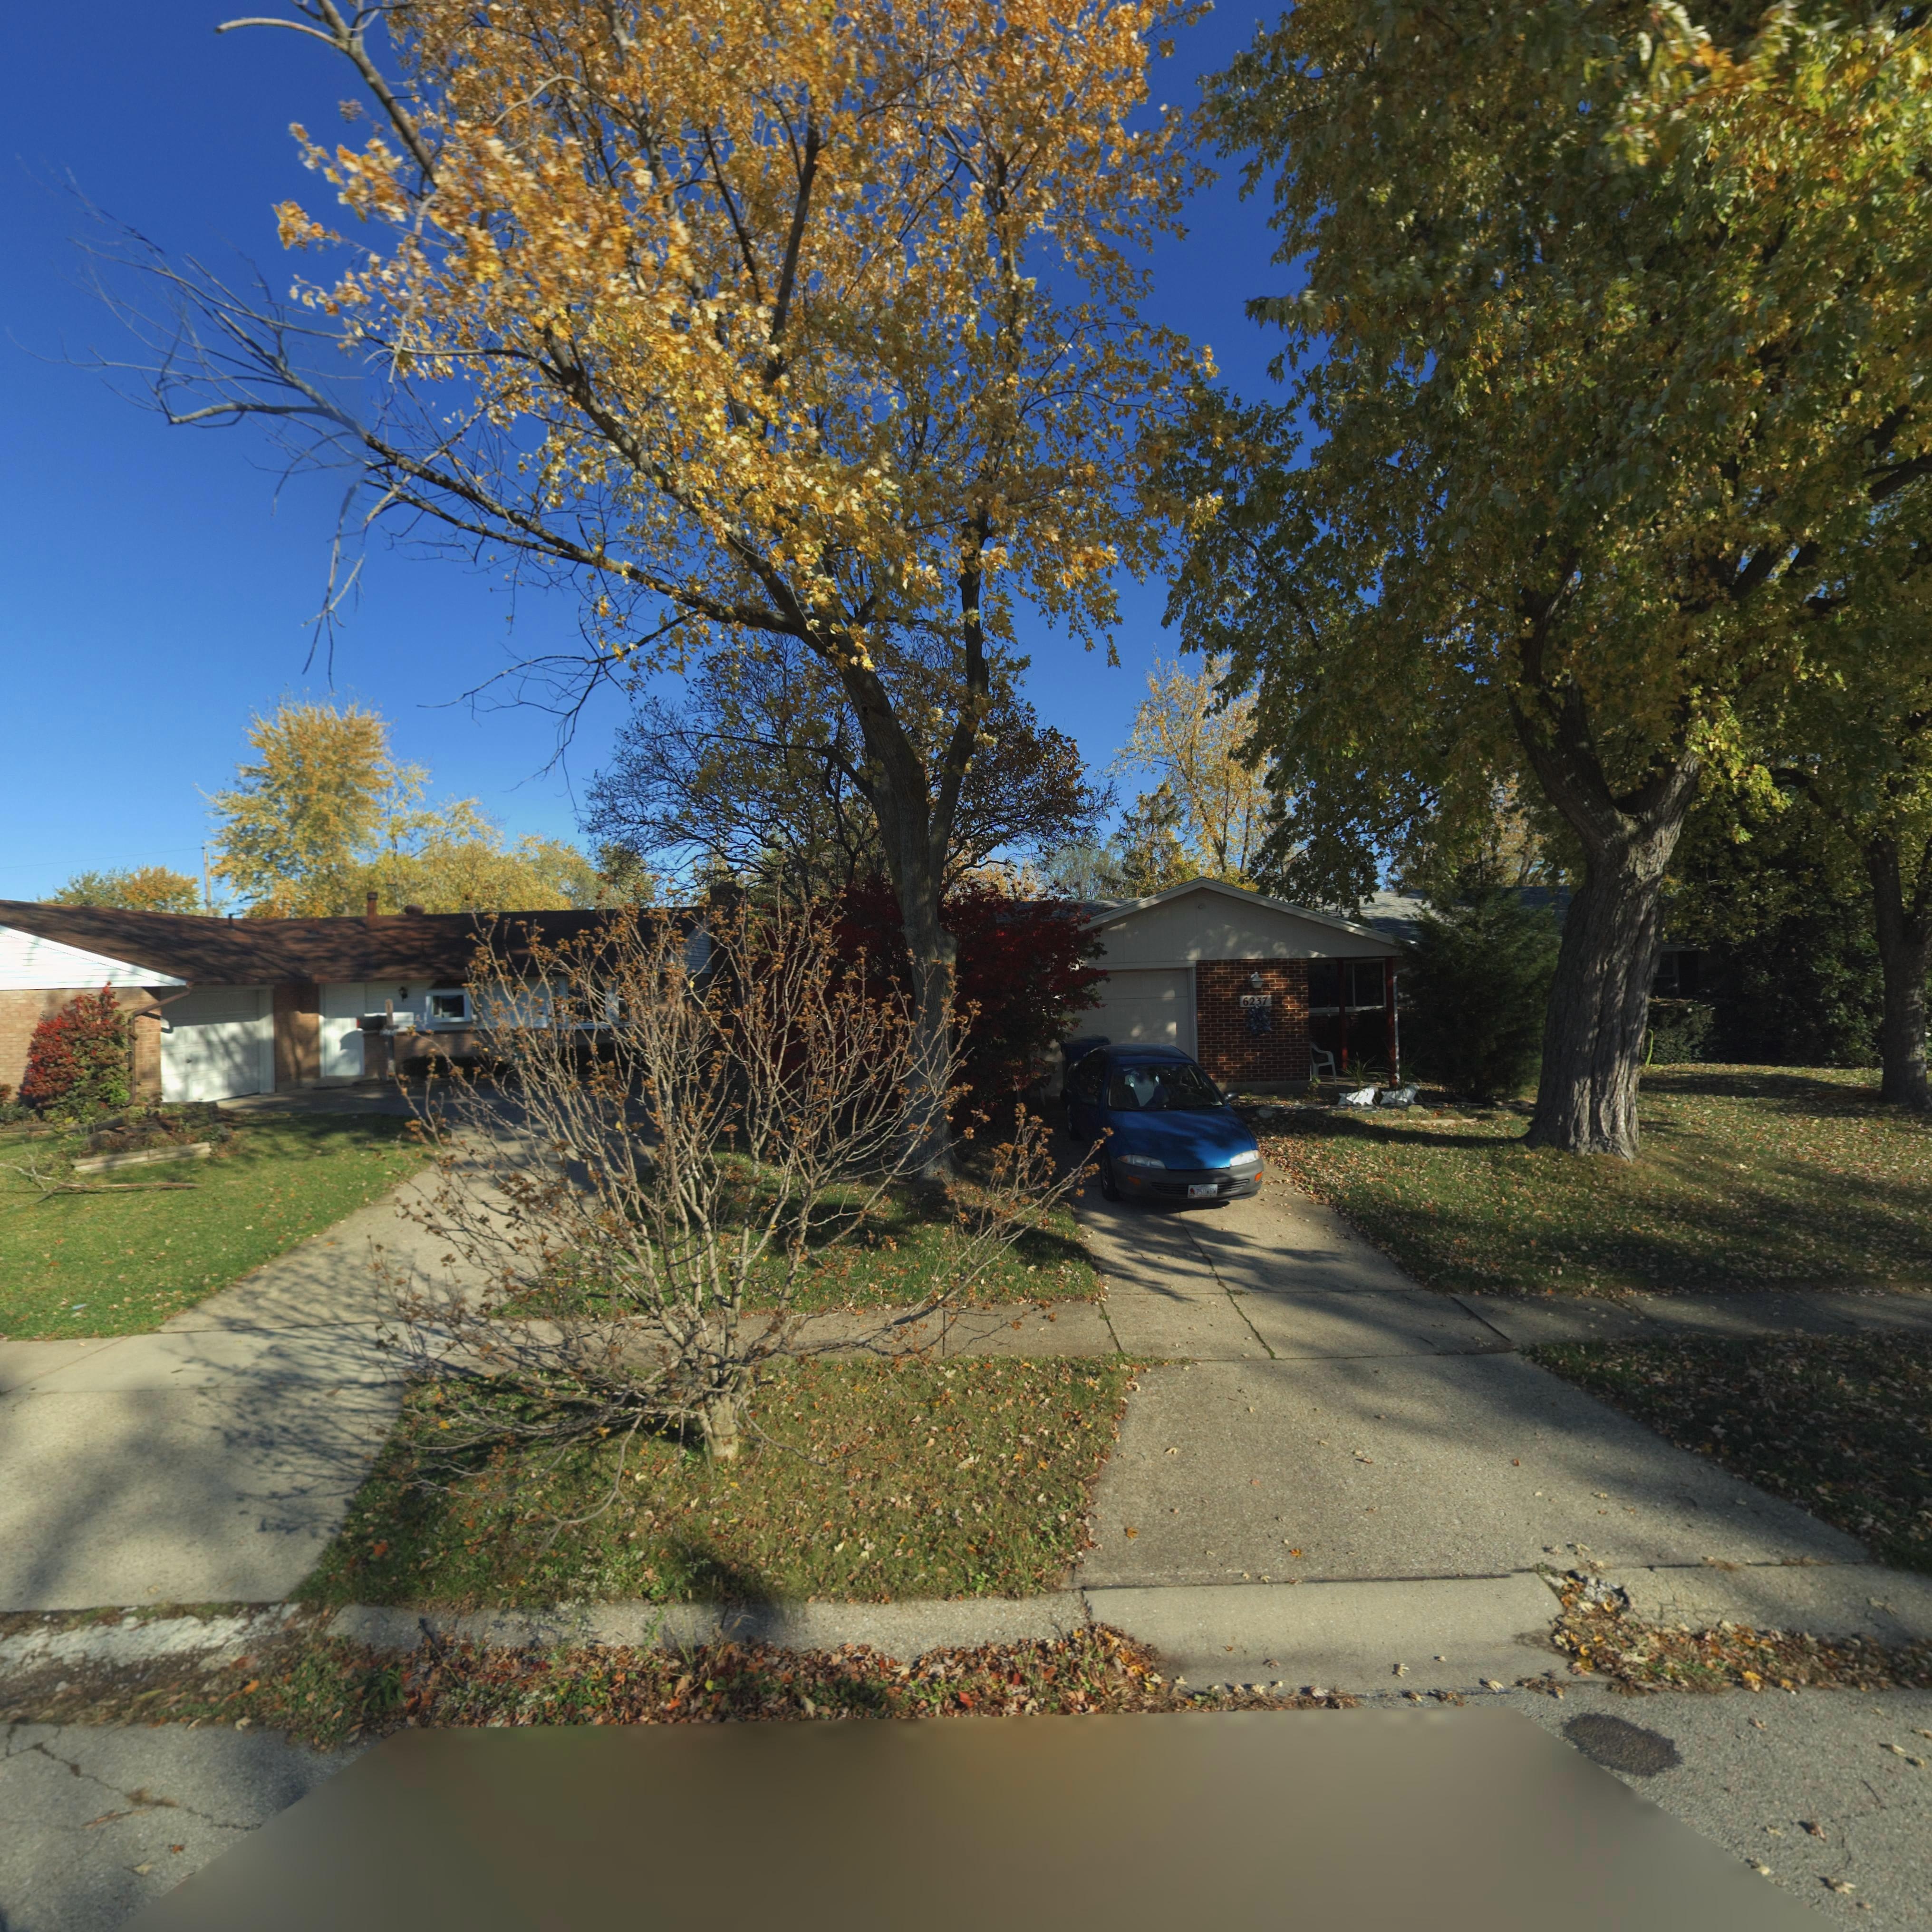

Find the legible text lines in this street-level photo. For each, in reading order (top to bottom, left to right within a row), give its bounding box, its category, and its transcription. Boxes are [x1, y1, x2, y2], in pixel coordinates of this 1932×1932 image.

[1242, 996, 1269, 1006] StreetNumber: 6237